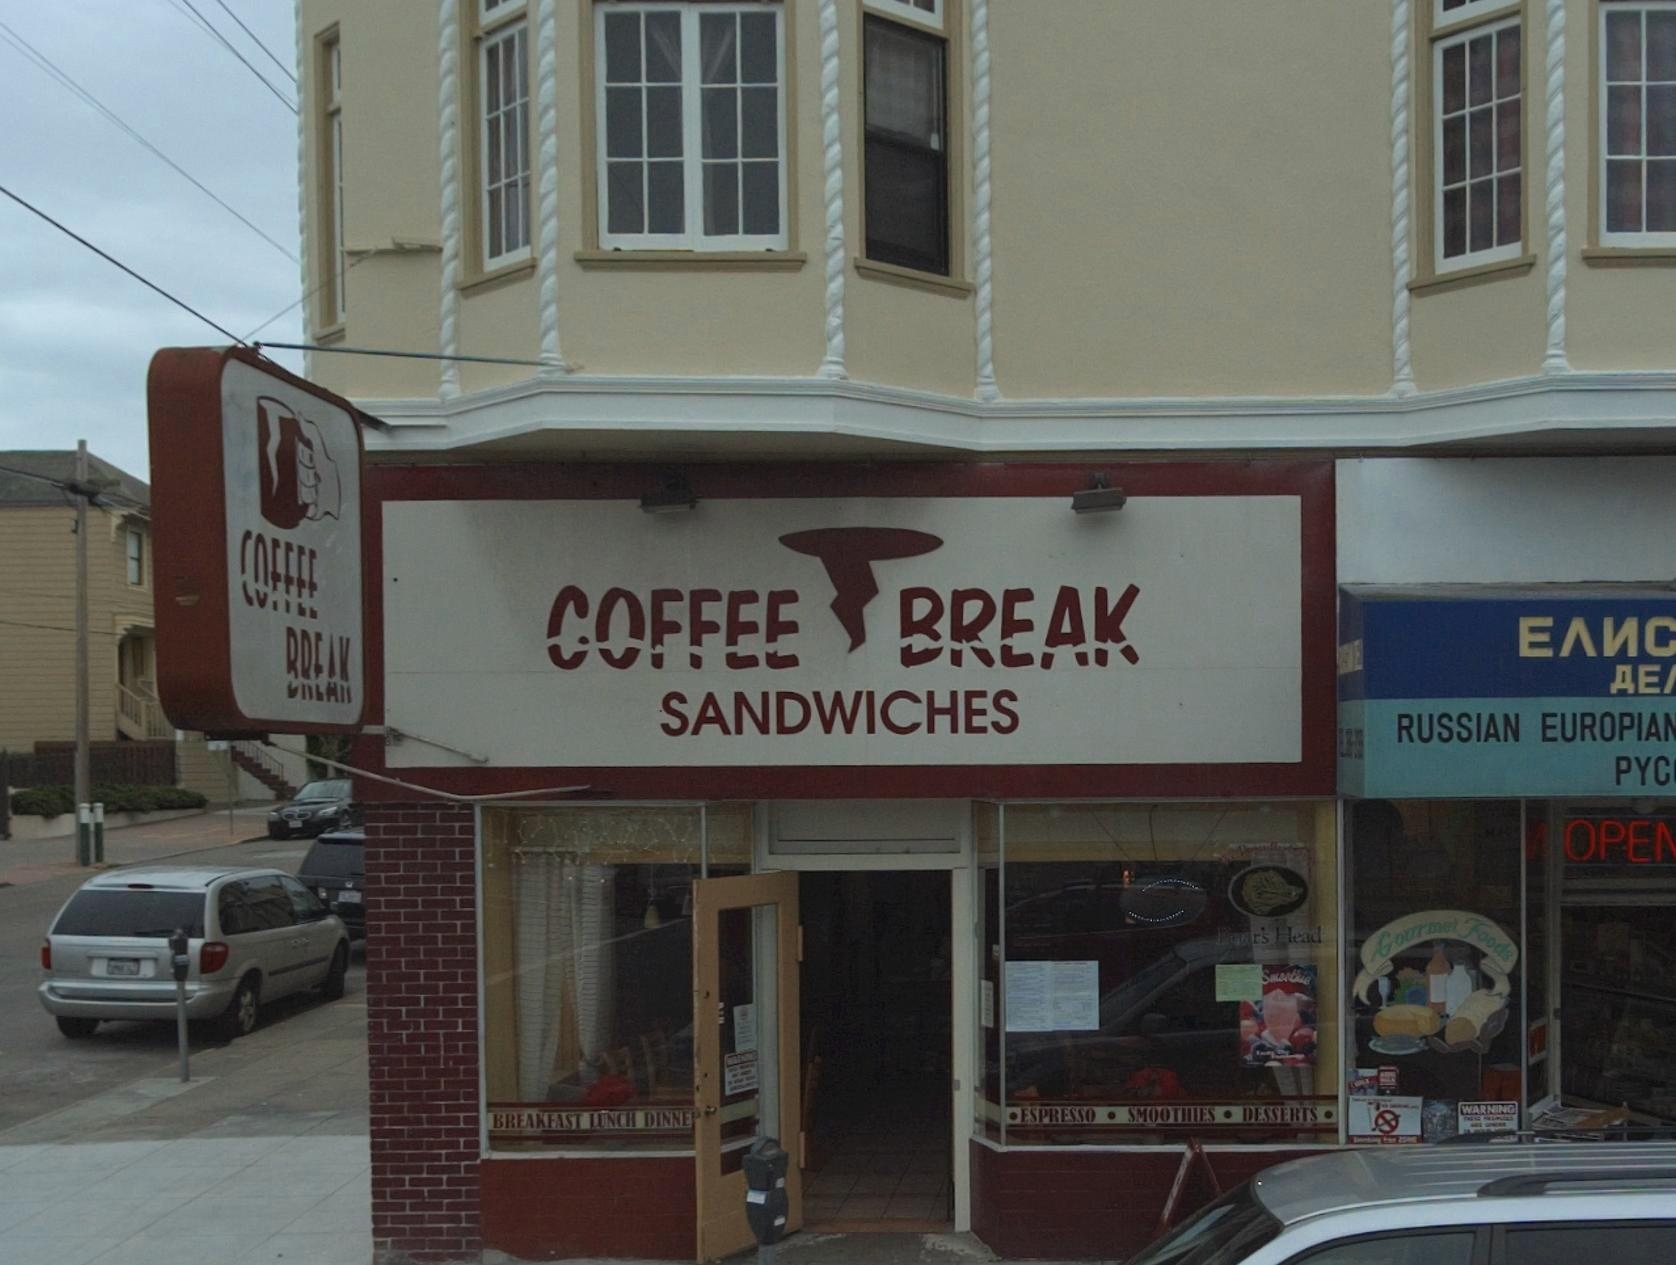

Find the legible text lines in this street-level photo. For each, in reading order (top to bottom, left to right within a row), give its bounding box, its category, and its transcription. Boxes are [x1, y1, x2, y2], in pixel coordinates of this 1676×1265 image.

[237, 524, 320, 623] BusinessName: COFFEE
[540, 580, 1143, 675] BusinessName: COFFEE BREAK
[1515, 613, 1643, 662] None: E**
[283, 622, 354, 707] BusinessName: BREAK
[657, 685, 1025, 739] BusinessName: SANDWICHES
[1394, 710, 1523, 746] None: RUSSIAN
[1538, 709, 1664, 745] None: EUROPIA
[1613, 753, 1672, 789] None: PYC
[1562, 817, 1654, 866] None: OPE
[1213, 923, 1323, 947] None: Boar's Head
[1367, 915, 1516, 967] None: Gourmet Foods
[1260, 967, 1314, 987] None: Smoothie
[490, 1109, 692, 1131] None: BREAKFAST LUNCH DINNE
[1019, 1104, 1319, 1125] None: ESPRESSO*SMOOTHIES*DESSERTS
[1459, 1103, 1516, 1115] None: WARNING